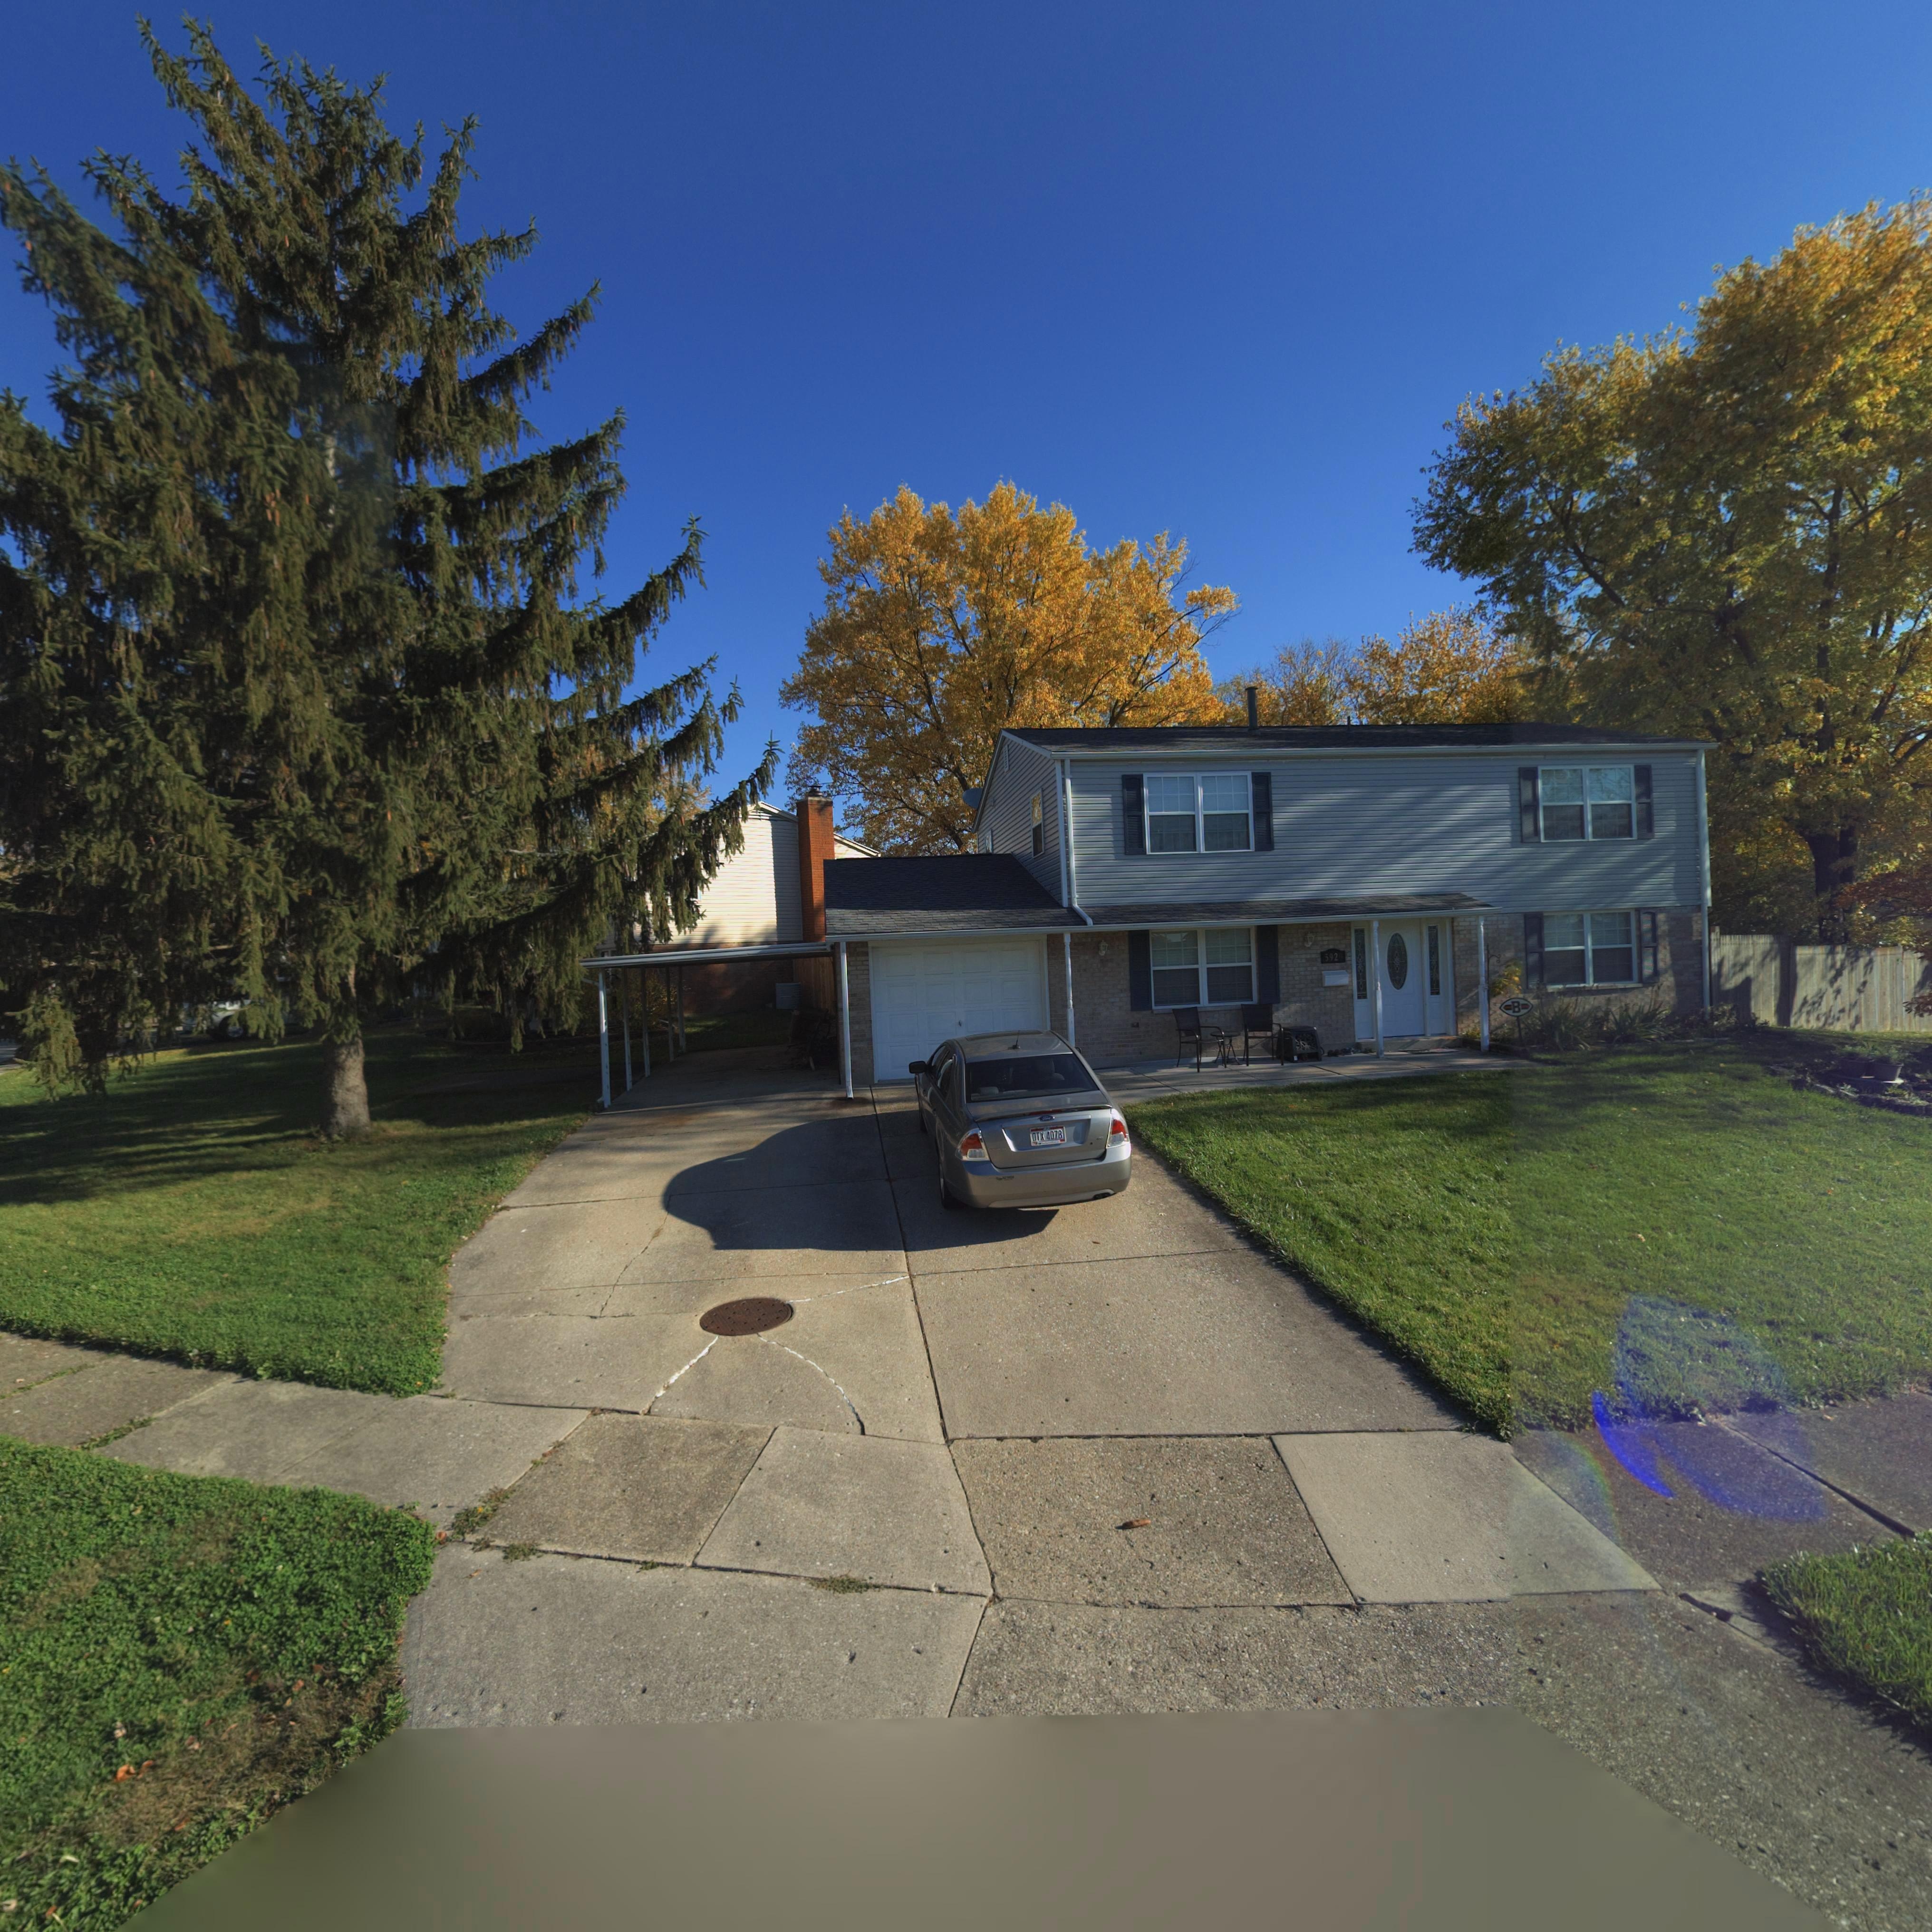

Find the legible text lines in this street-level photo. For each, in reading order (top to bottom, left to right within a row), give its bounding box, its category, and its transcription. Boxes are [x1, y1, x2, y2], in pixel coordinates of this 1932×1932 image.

[1323, 951, 1343, 963] StreetNumber: *92*